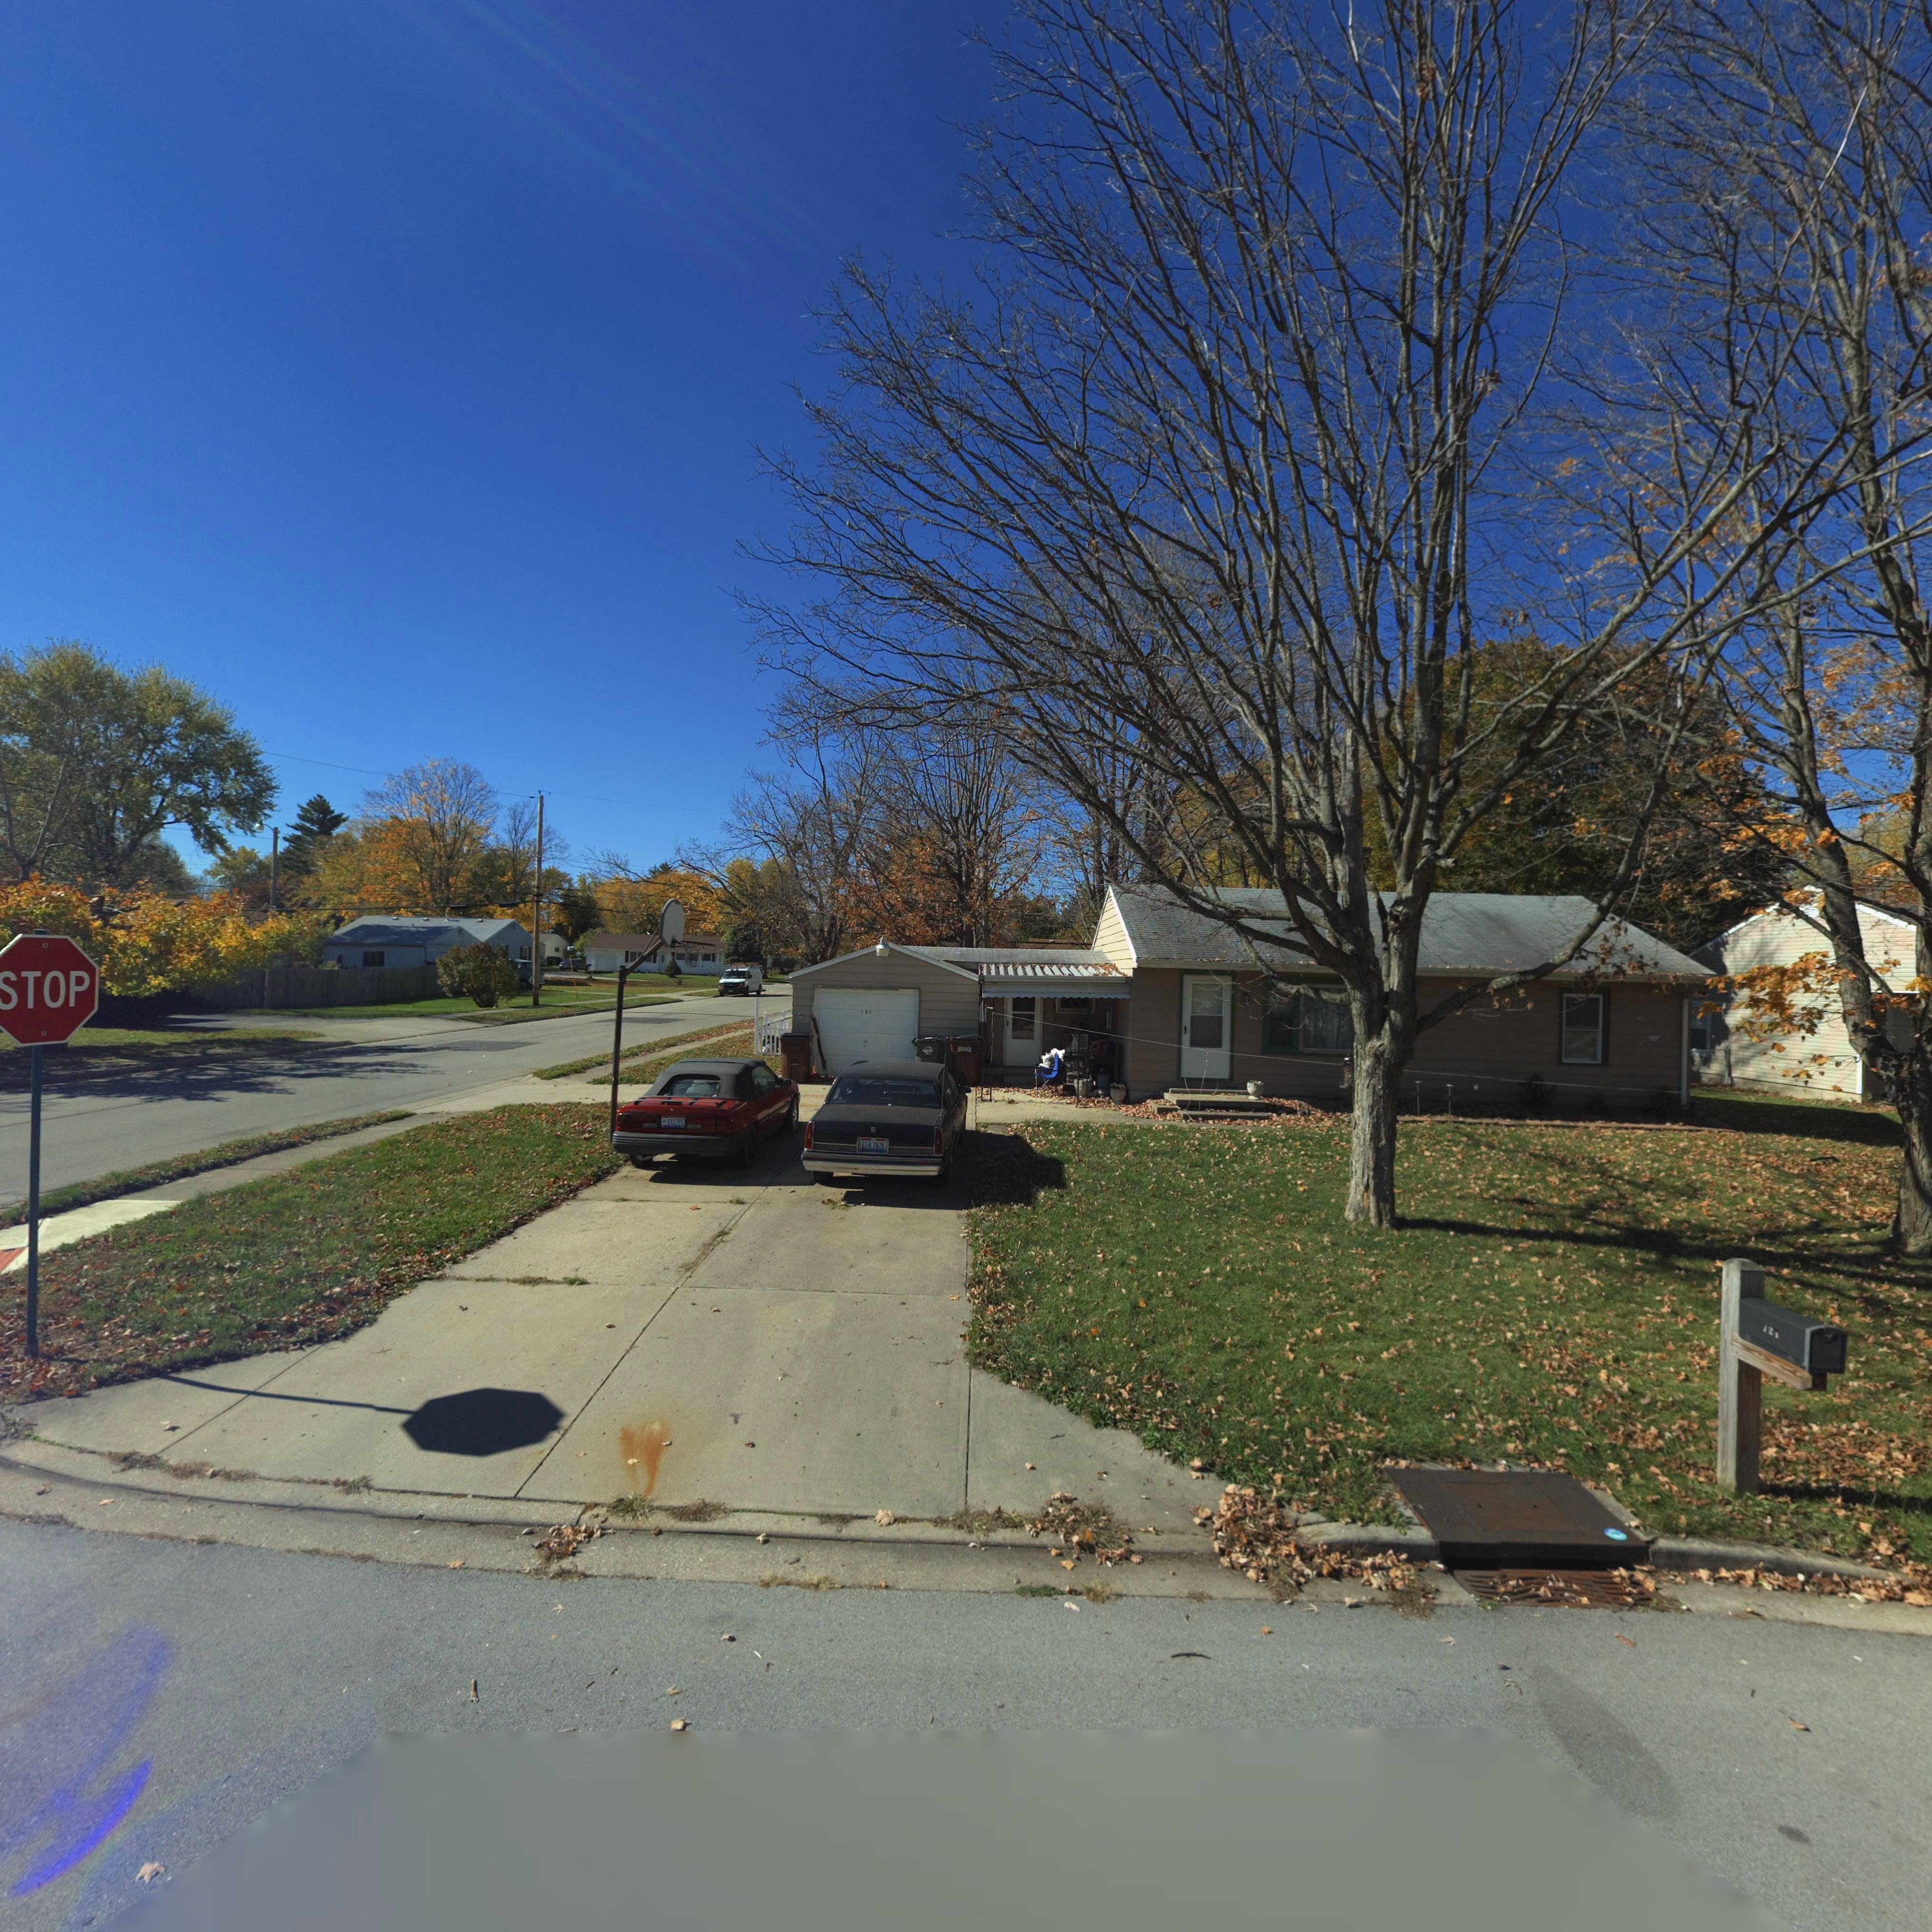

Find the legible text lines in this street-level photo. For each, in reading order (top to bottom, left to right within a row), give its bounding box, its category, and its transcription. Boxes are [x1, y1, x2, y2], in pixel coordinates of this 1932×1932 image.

[1761, 1323, 1780, 1339] StreetNumber: *2*